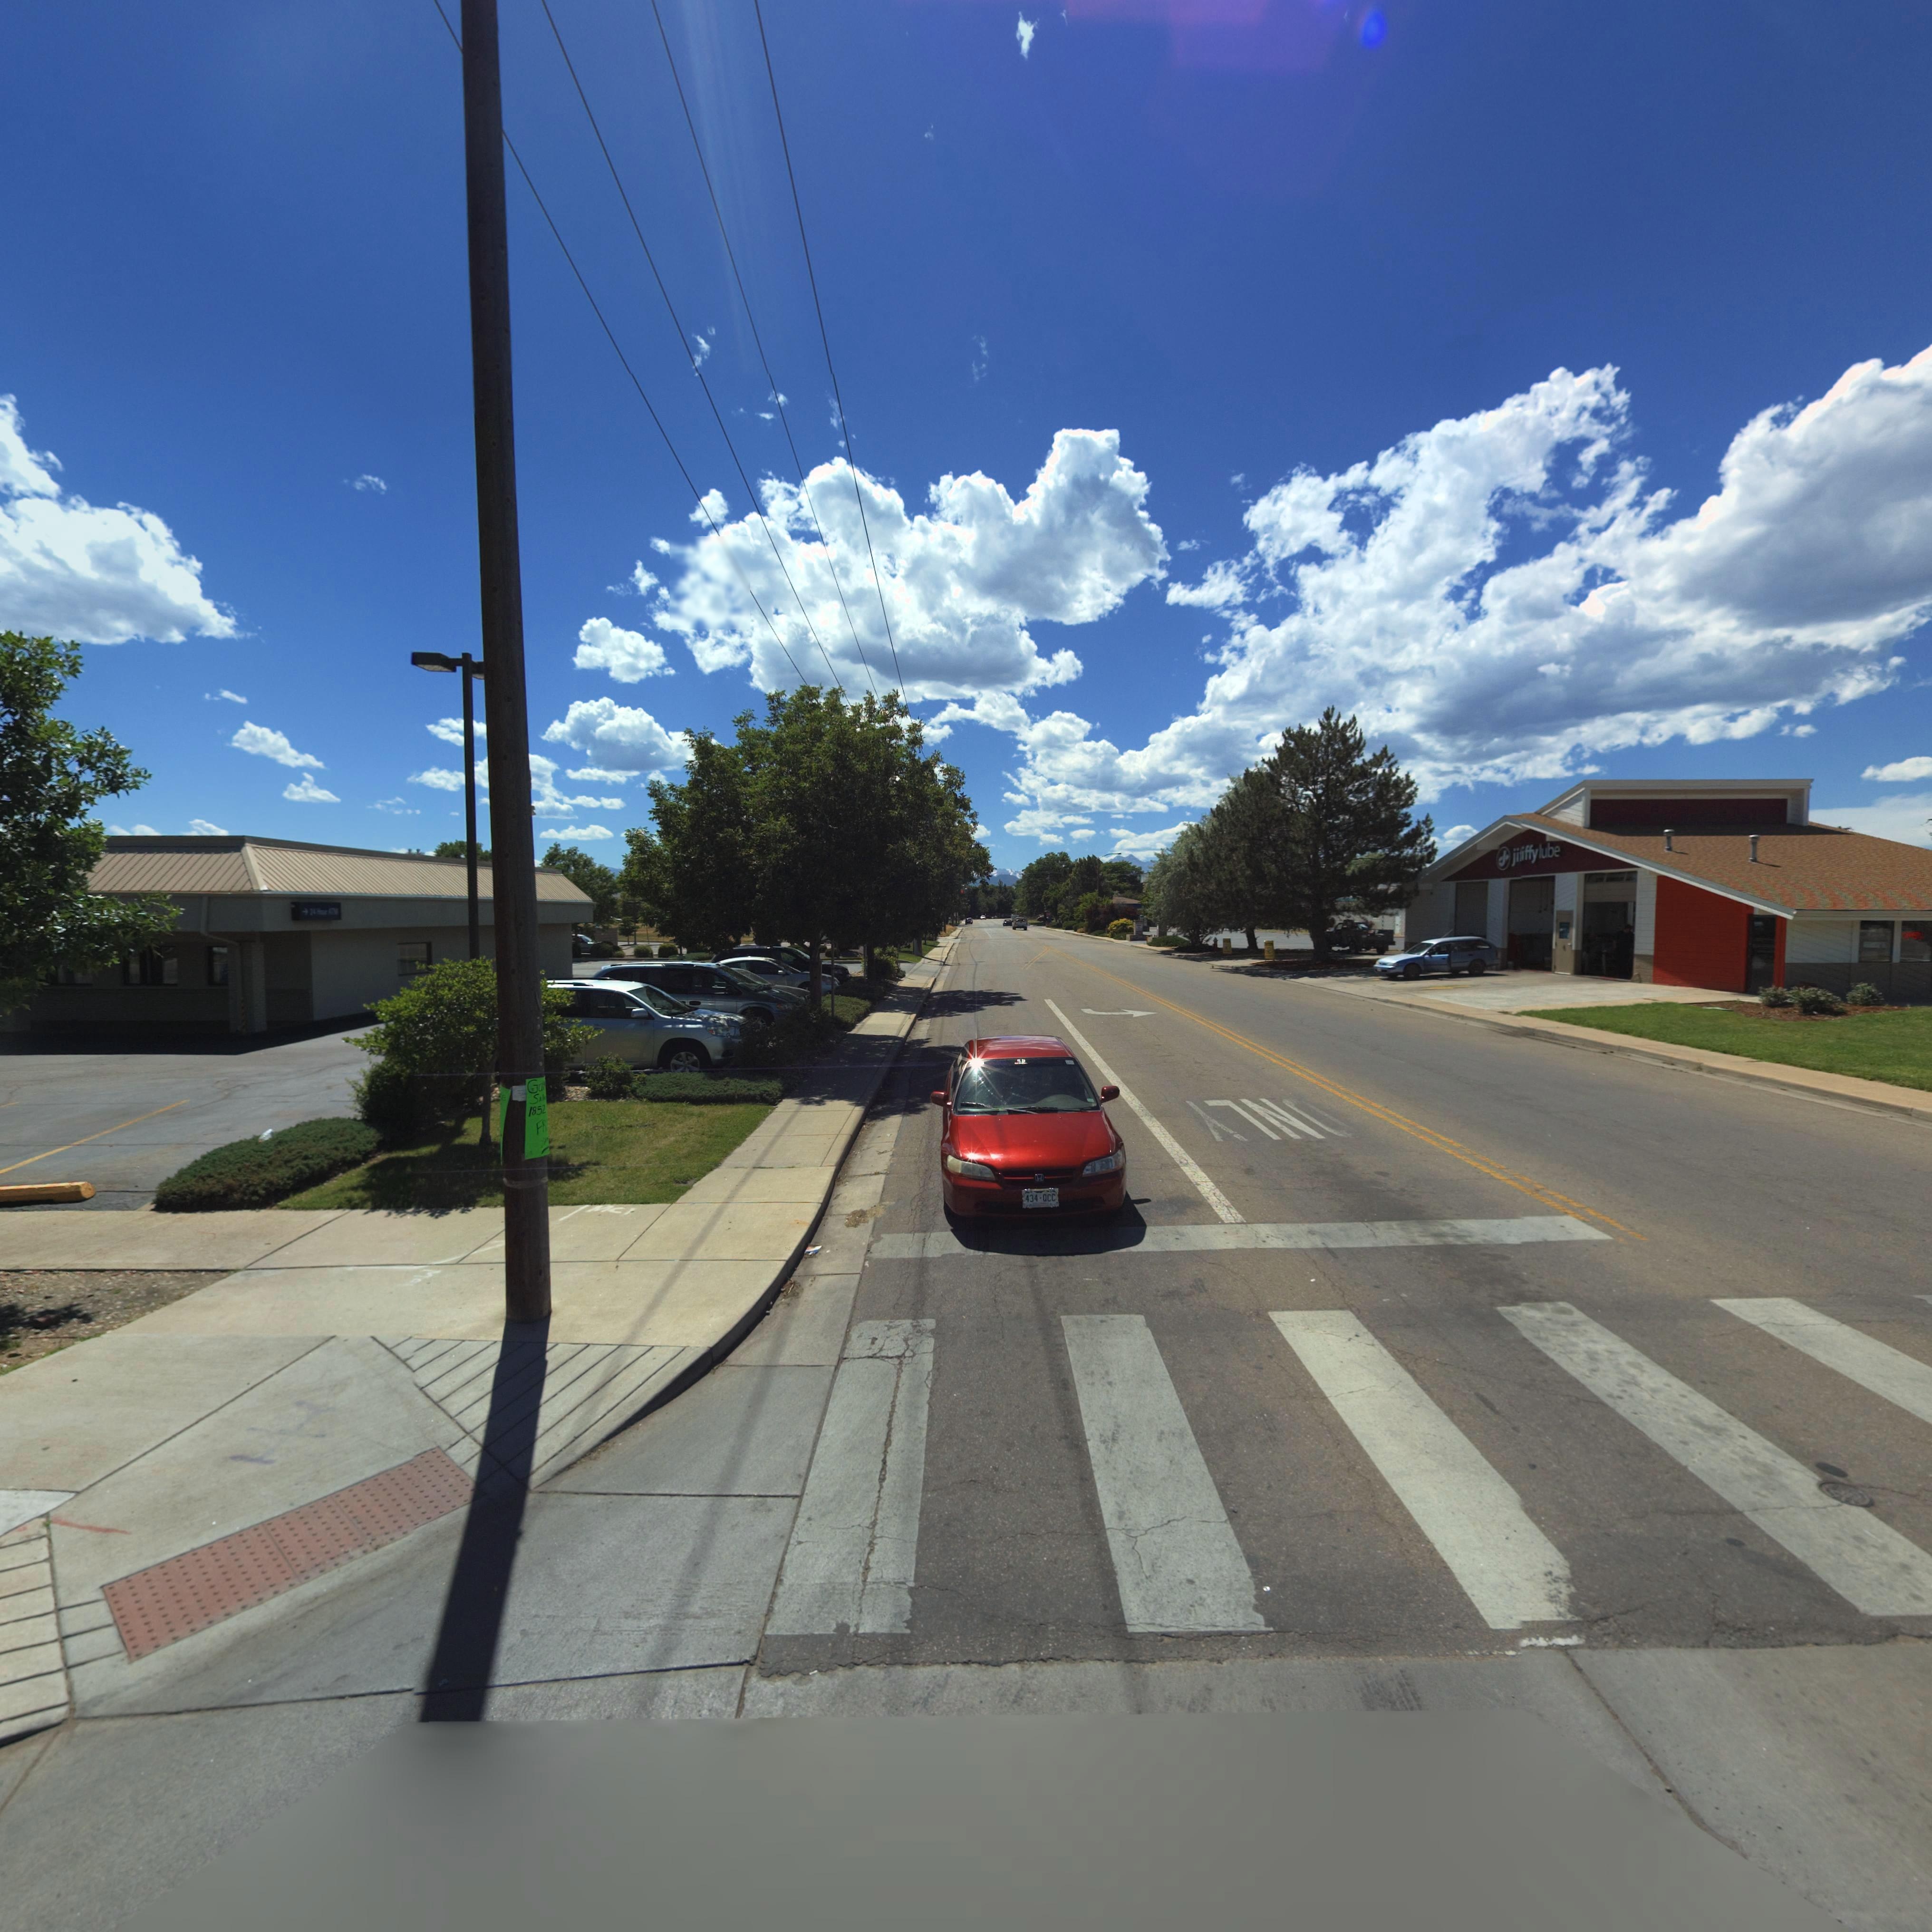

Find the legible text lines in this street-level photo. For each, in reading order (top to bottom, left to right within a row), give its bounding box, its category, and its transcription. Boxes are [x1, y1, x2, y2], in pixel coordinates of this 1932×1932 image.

[1510, 842, 1561, 868] BusinessName: ji*ffy lube